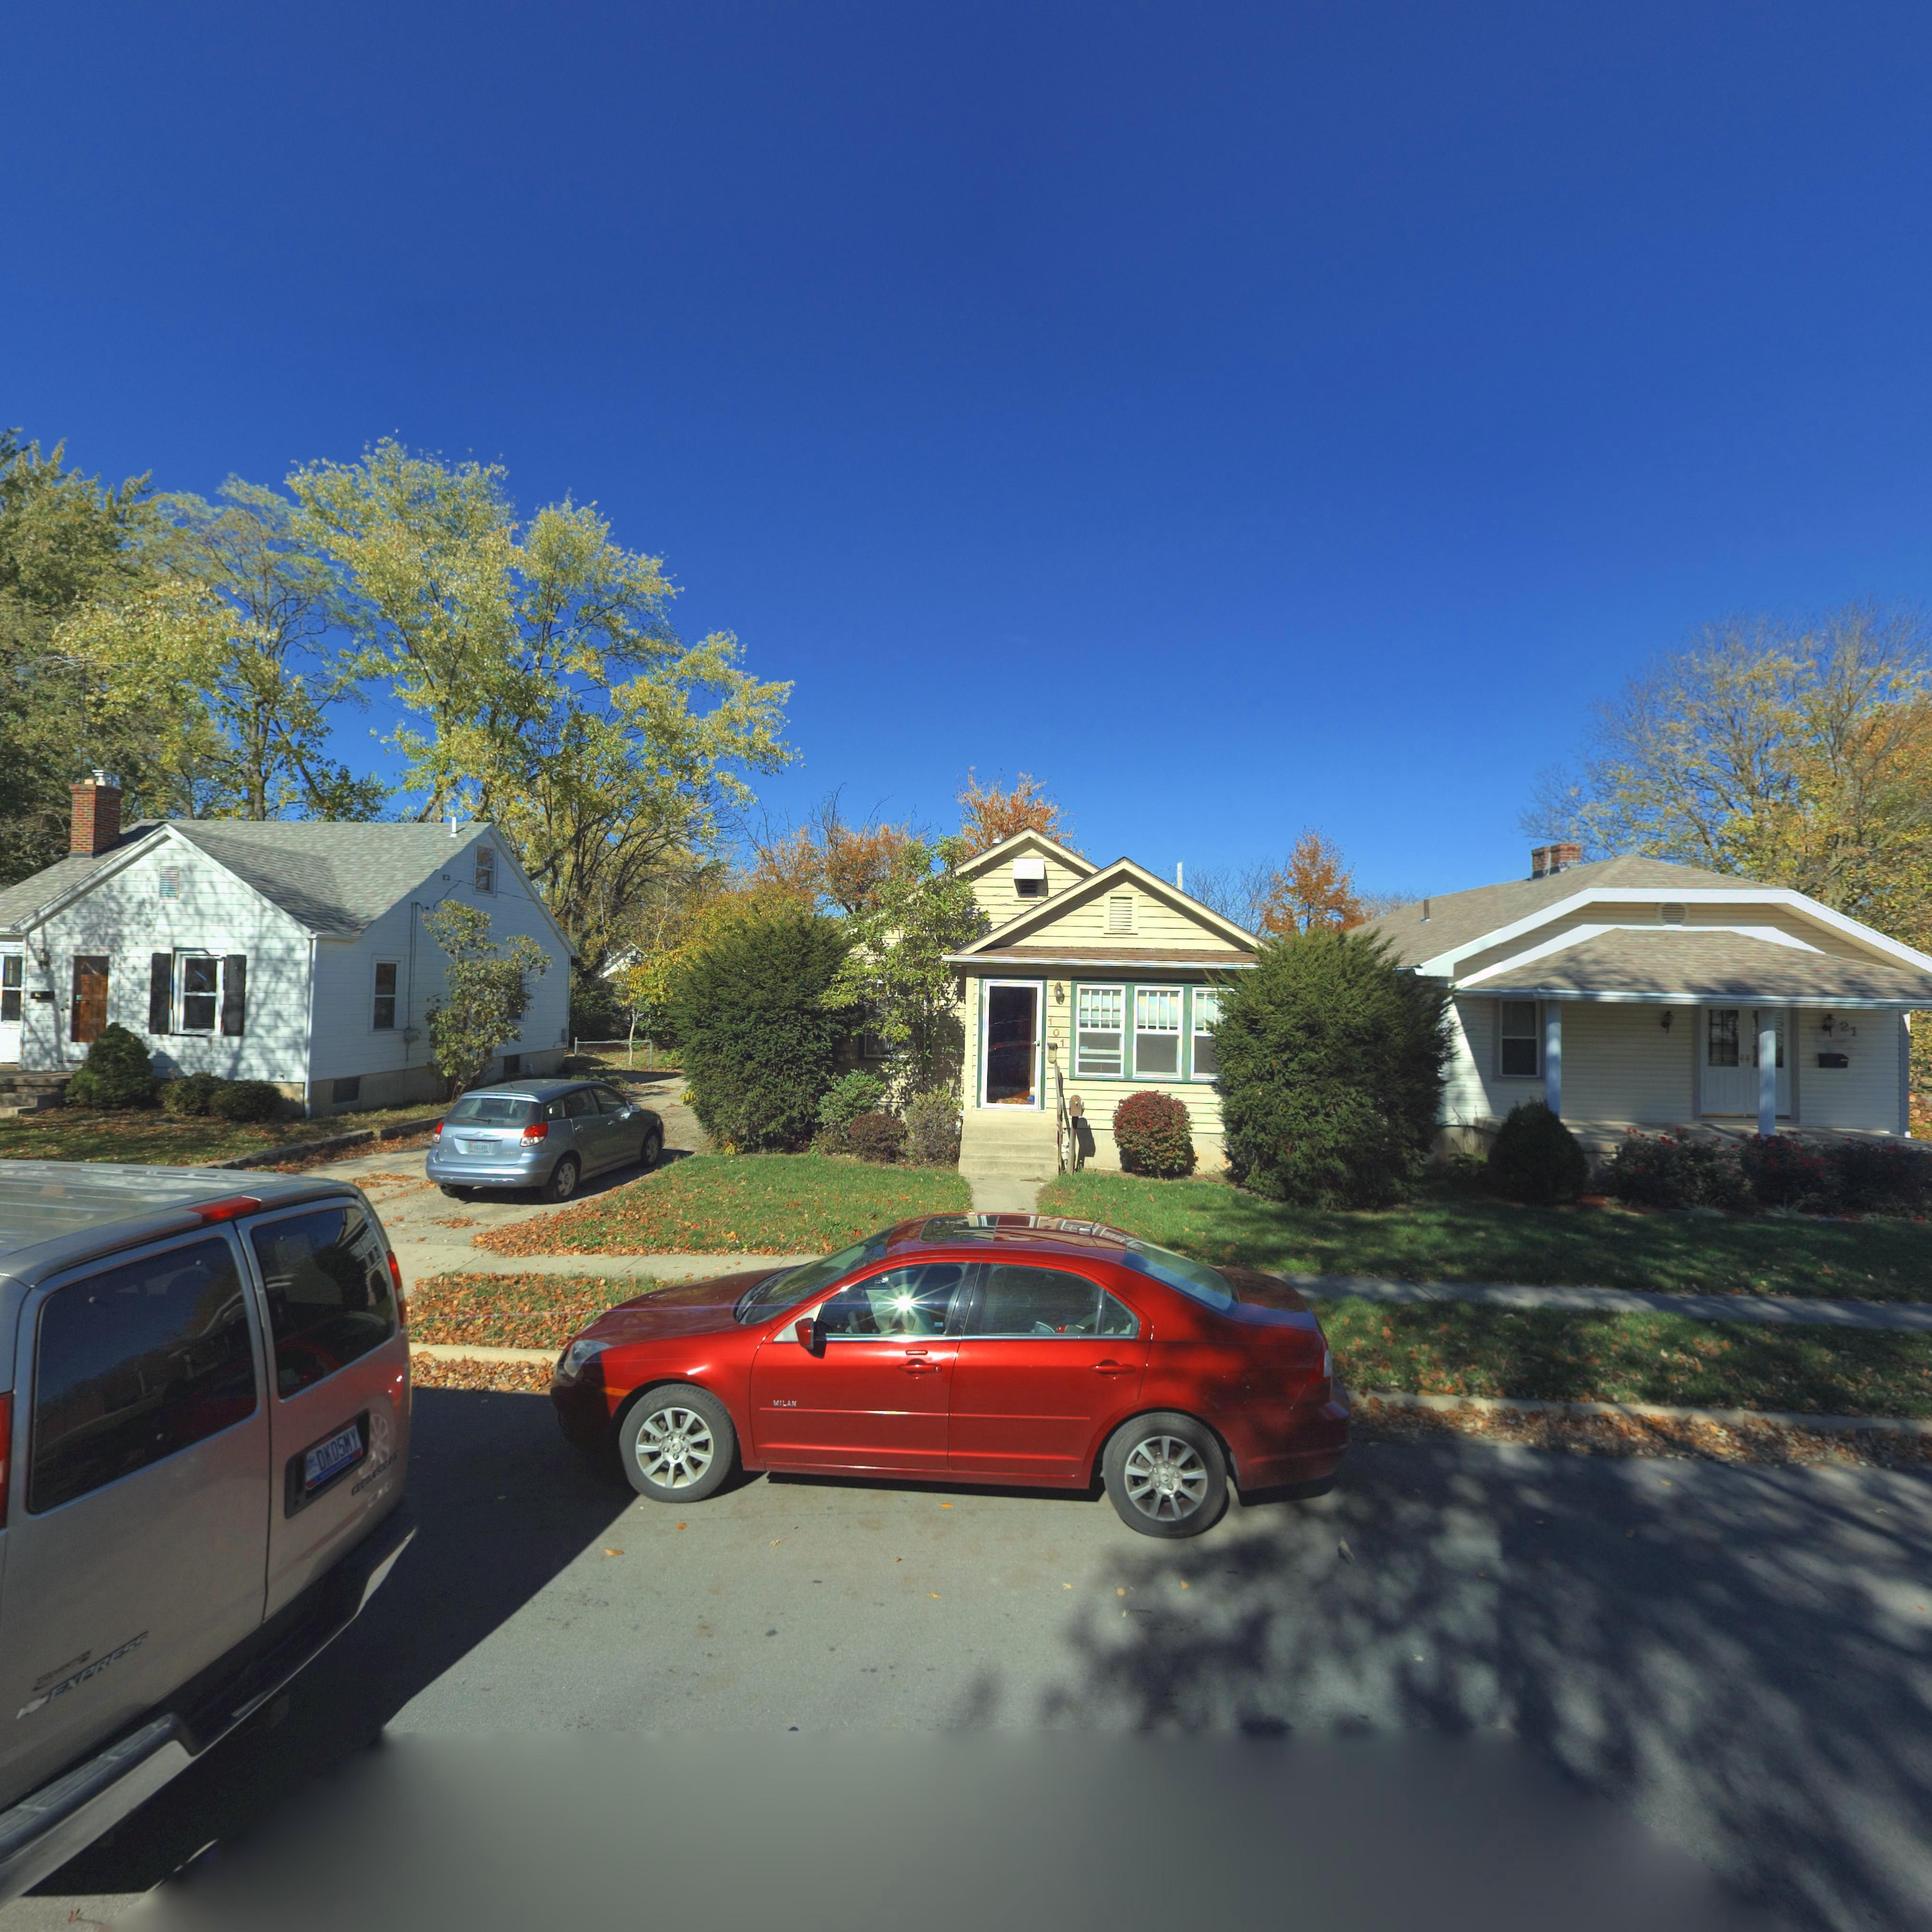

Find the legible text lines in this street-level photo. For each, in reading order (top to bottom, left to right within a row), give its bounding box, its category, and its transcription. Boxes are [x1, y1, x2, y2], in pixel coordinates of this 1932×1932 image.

[1046, 1016, 1065, 1049] StreetNumber: 101
[1838, 1019, 1860, 1039] StreetNumber: 21
[772, 1399, 797, 1408] None: MILAN
[313, 1426, 359, 1473] None: DK05MY
[350, 1447, 399, 1499] None: CHEVROLET
[47, 1627, 150, 1707] None: EXPRESS